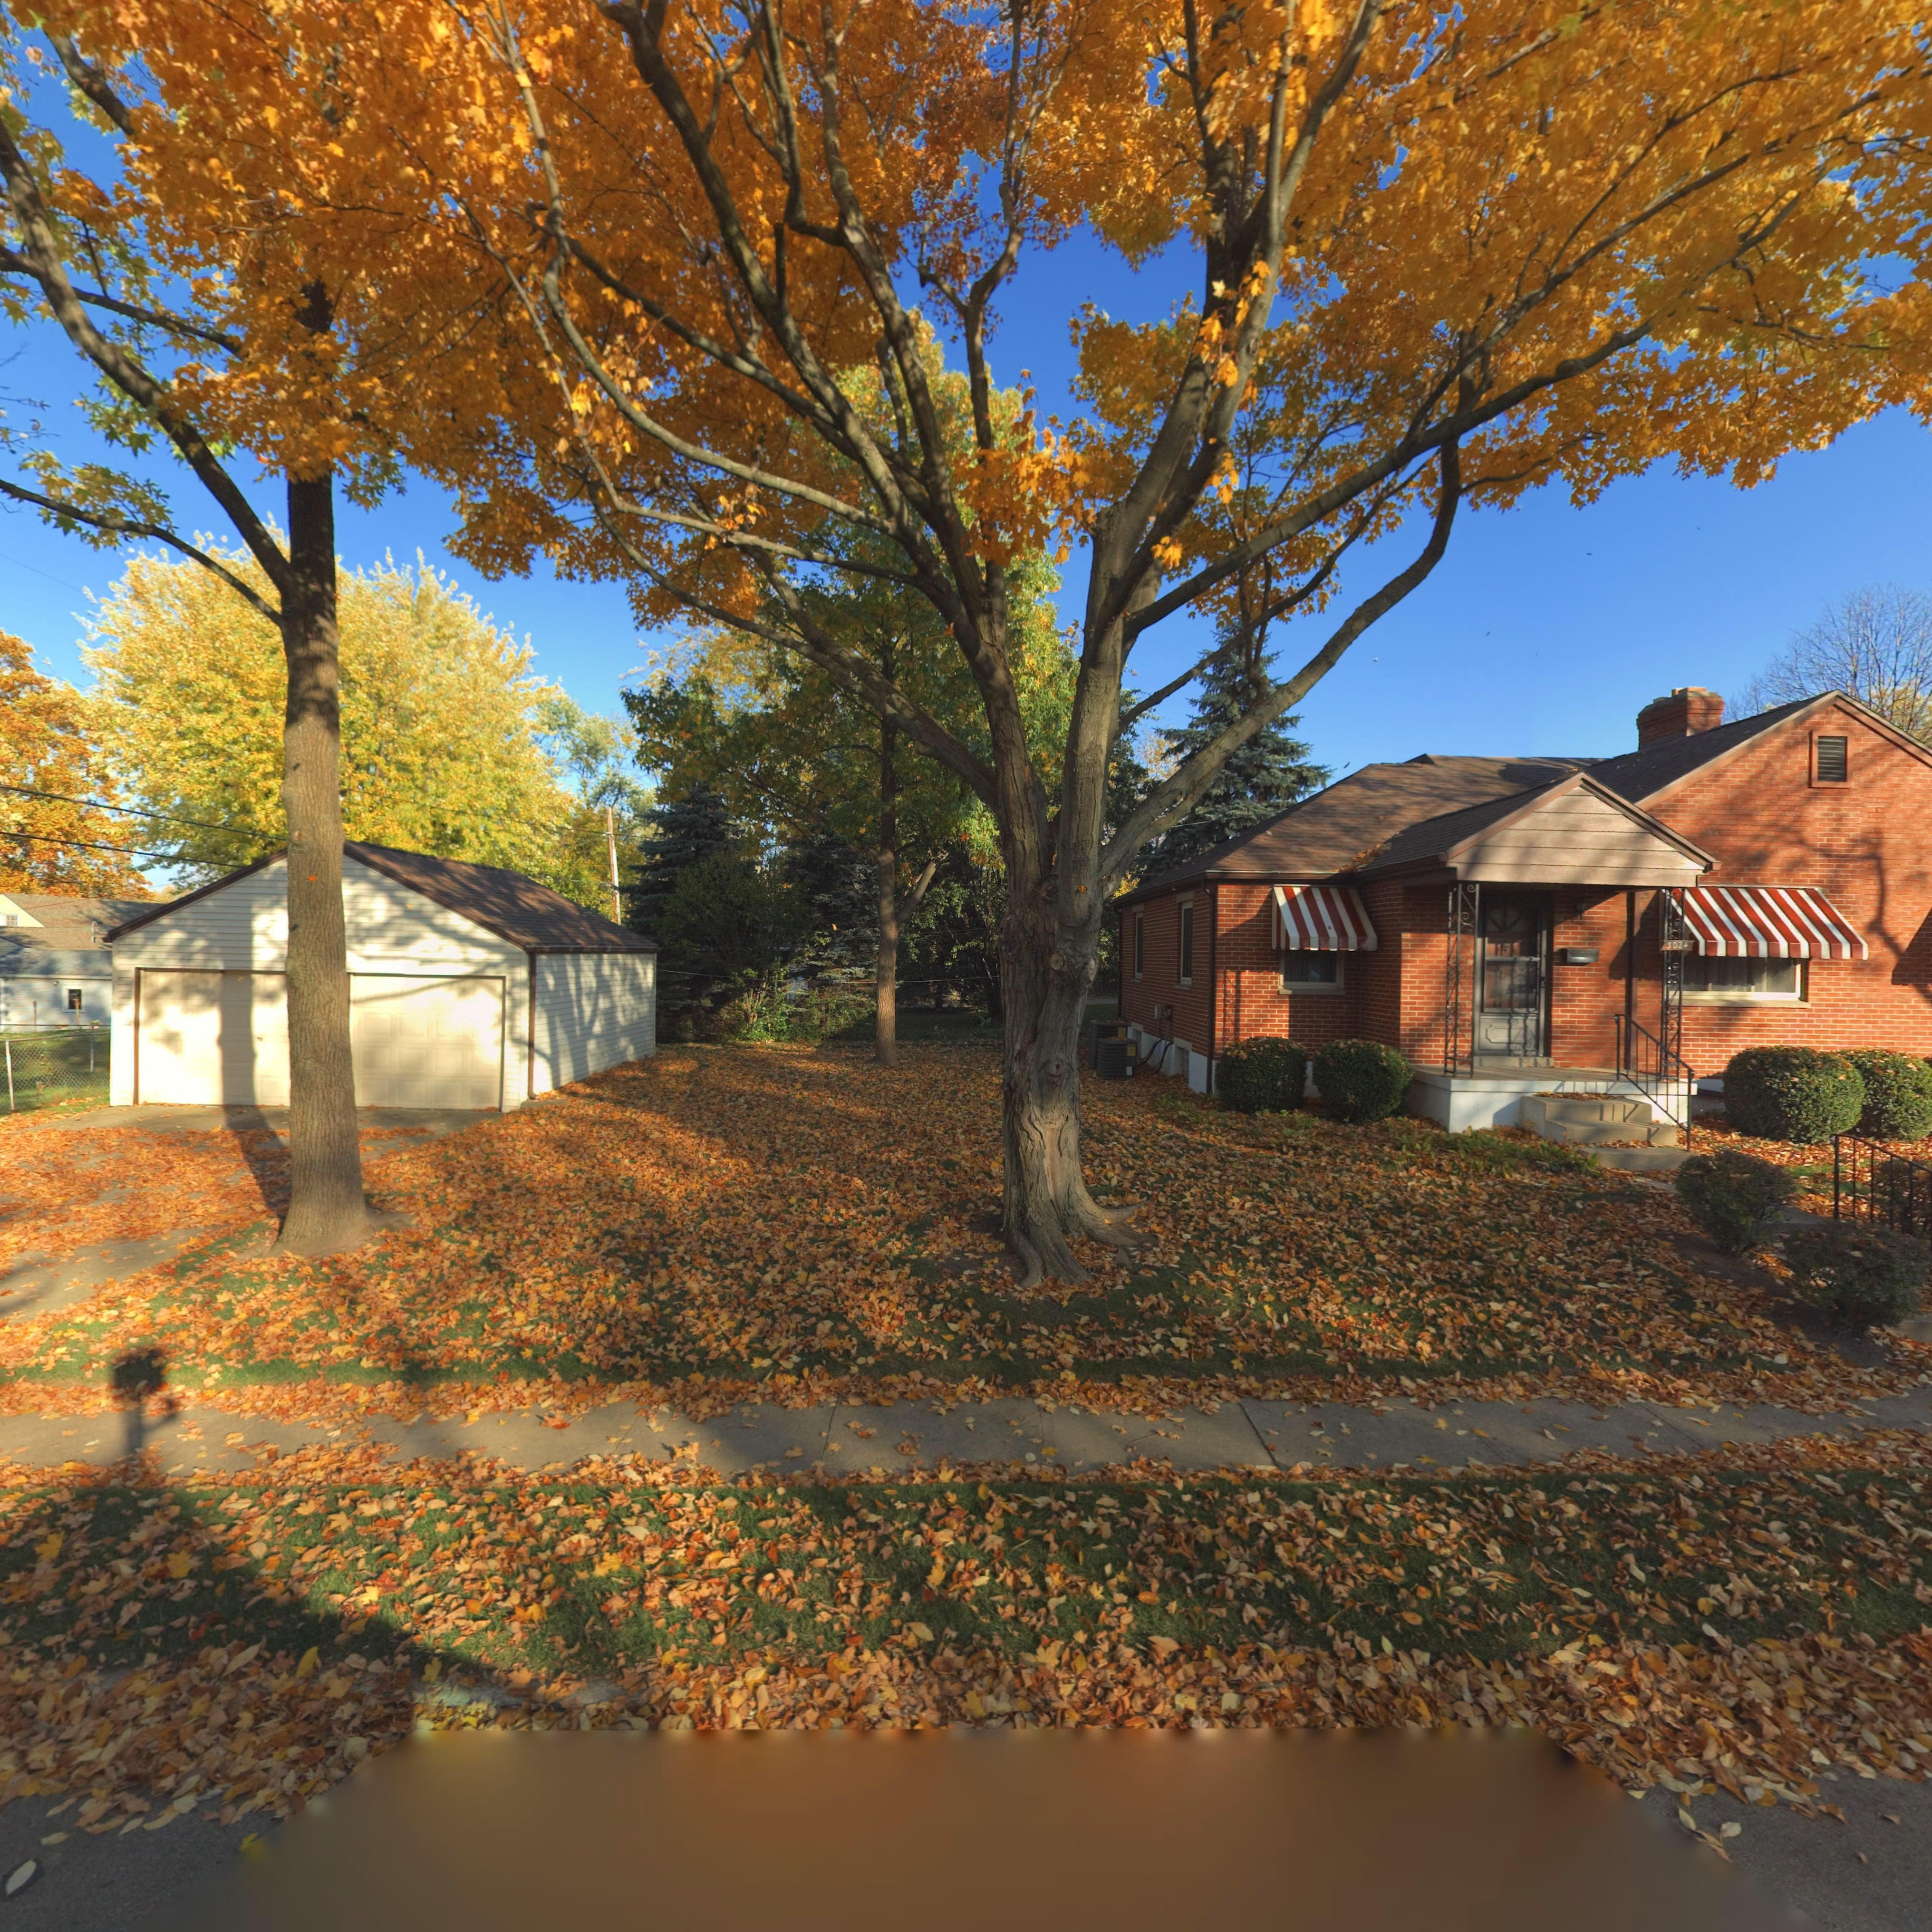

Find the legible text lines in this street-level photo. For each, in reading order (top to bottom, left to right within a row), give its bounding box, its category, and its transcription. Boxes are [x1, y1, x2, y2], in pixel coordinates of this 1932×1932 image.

[1665, 941, 1689, 949] StreetNumber: 3024